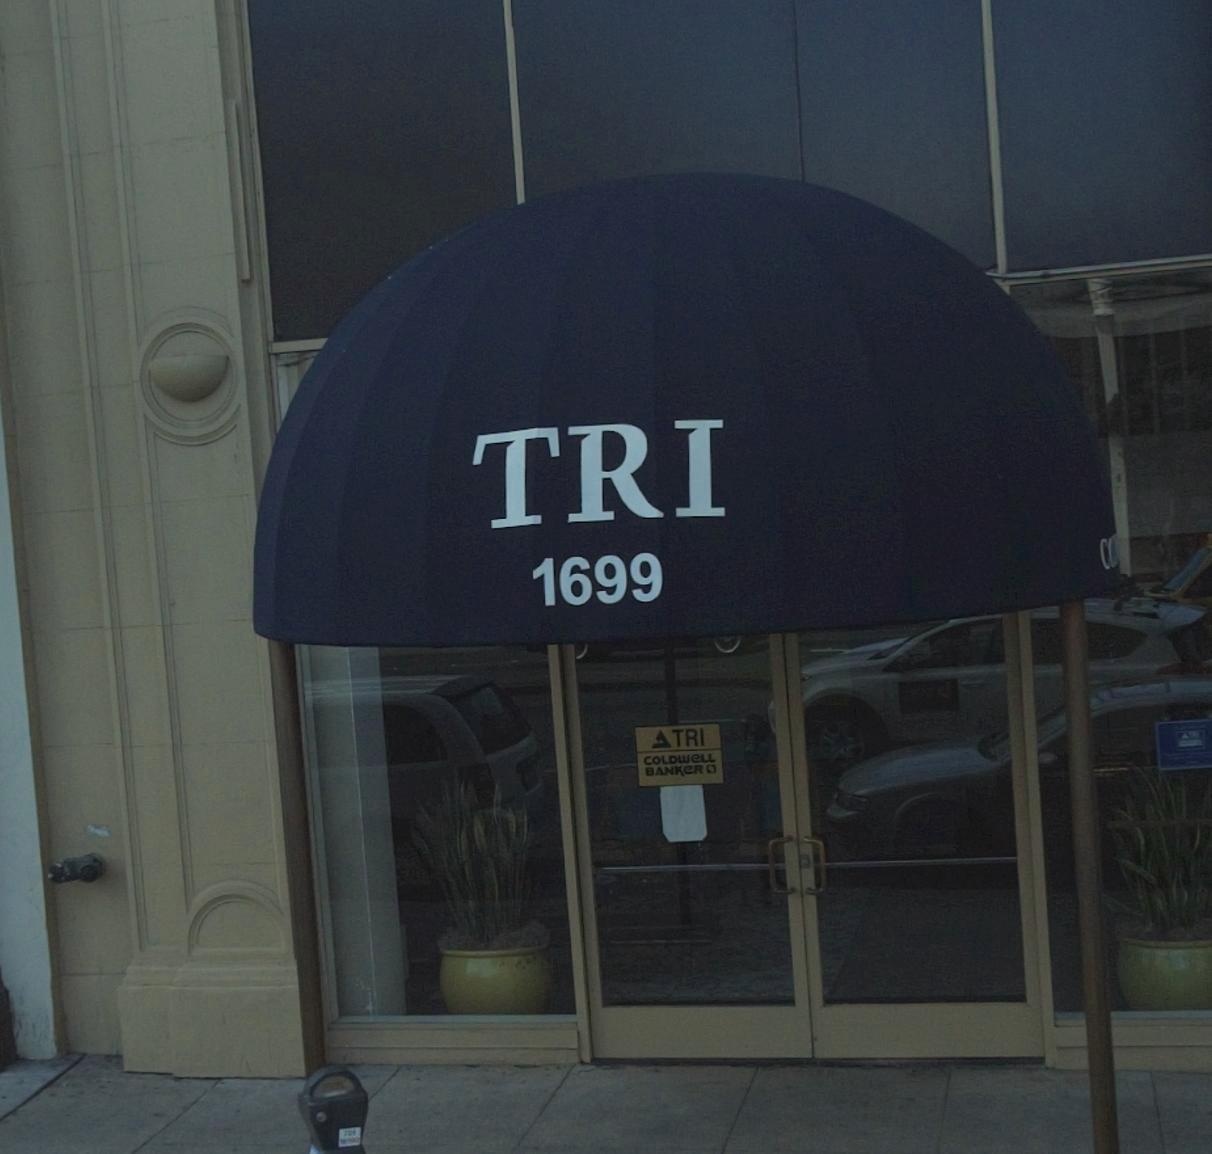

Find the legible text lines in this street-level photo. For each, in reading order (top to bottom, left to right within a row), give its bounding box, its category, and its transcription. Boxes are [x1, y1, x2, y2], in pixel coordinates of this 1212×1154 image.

[467, 416, 729, 533] BusinessName: TRI
[529, 549, 666, 611] StreetNumber: 1699
[670, 724, 708, 750] BusinessName: TRI
[643, 762, 708, 779] None: BANKER
[641, 750, 719, 768] None: COLDWELL